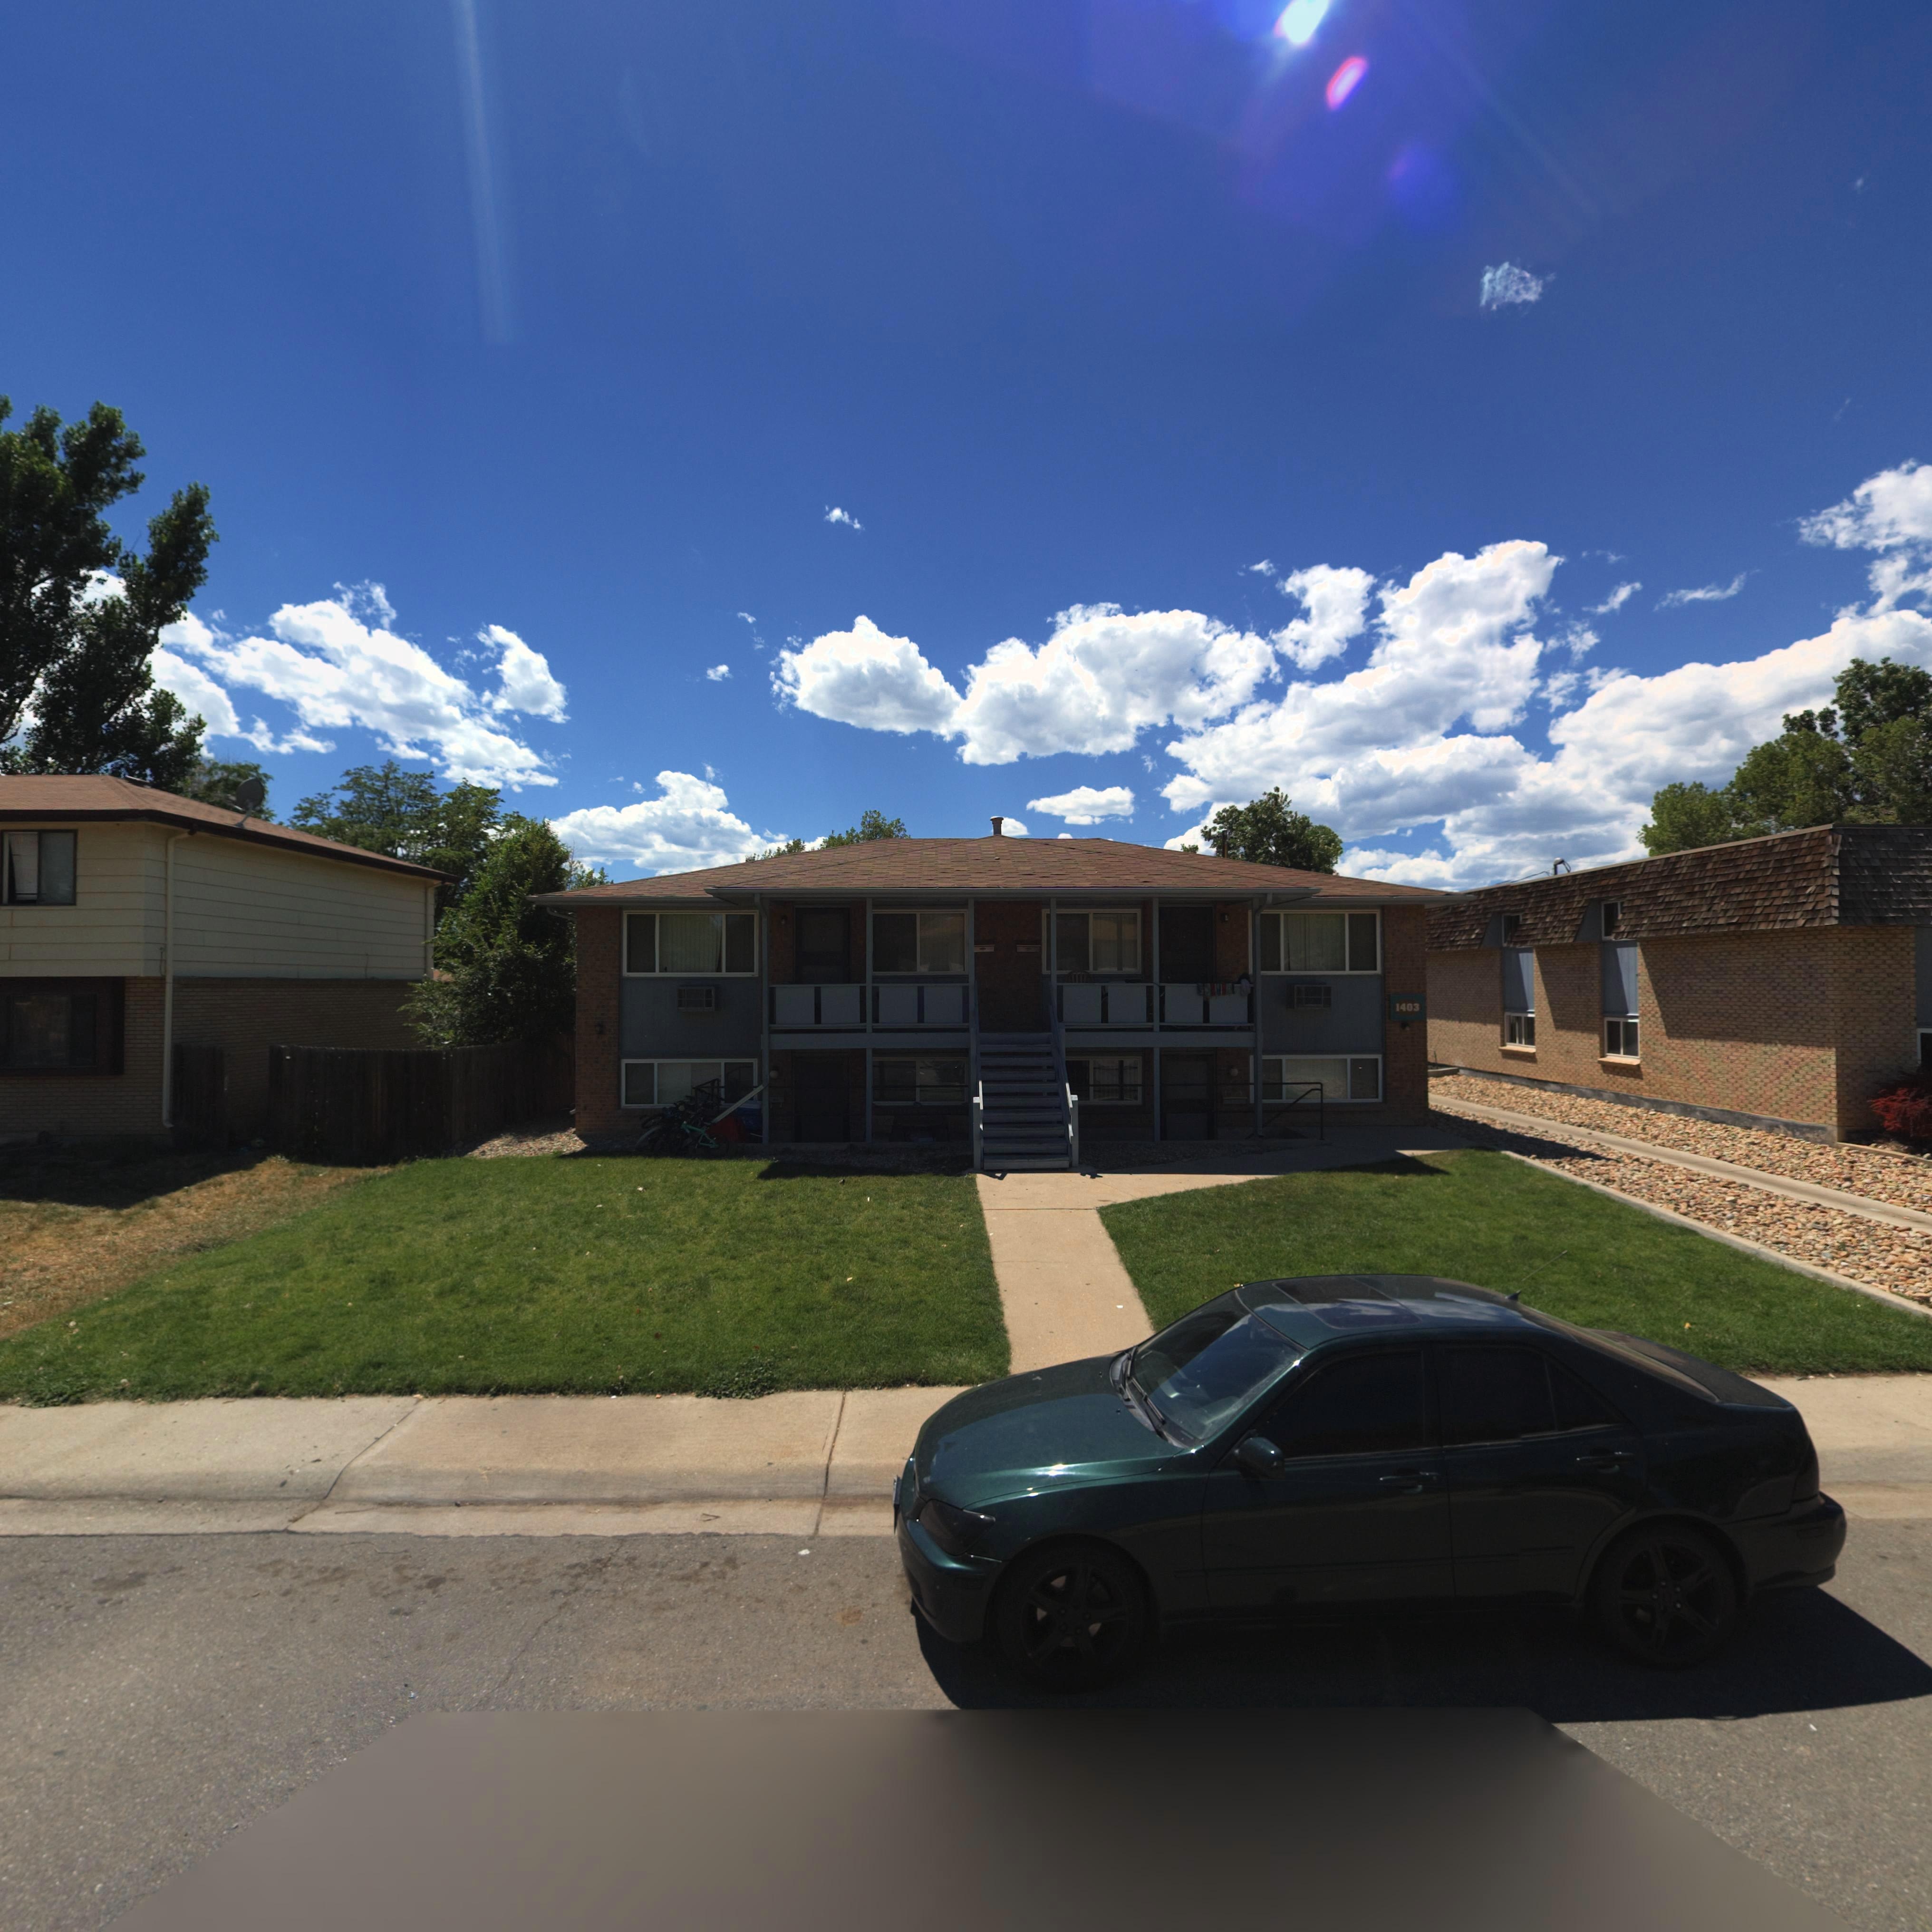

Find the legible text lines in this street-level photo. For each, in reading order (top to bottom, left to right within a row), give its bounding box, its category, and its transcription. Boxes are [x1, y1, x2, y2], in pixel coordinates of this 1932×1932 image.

[1395, 1002, 1420, 1012] StreetNumber: 1403